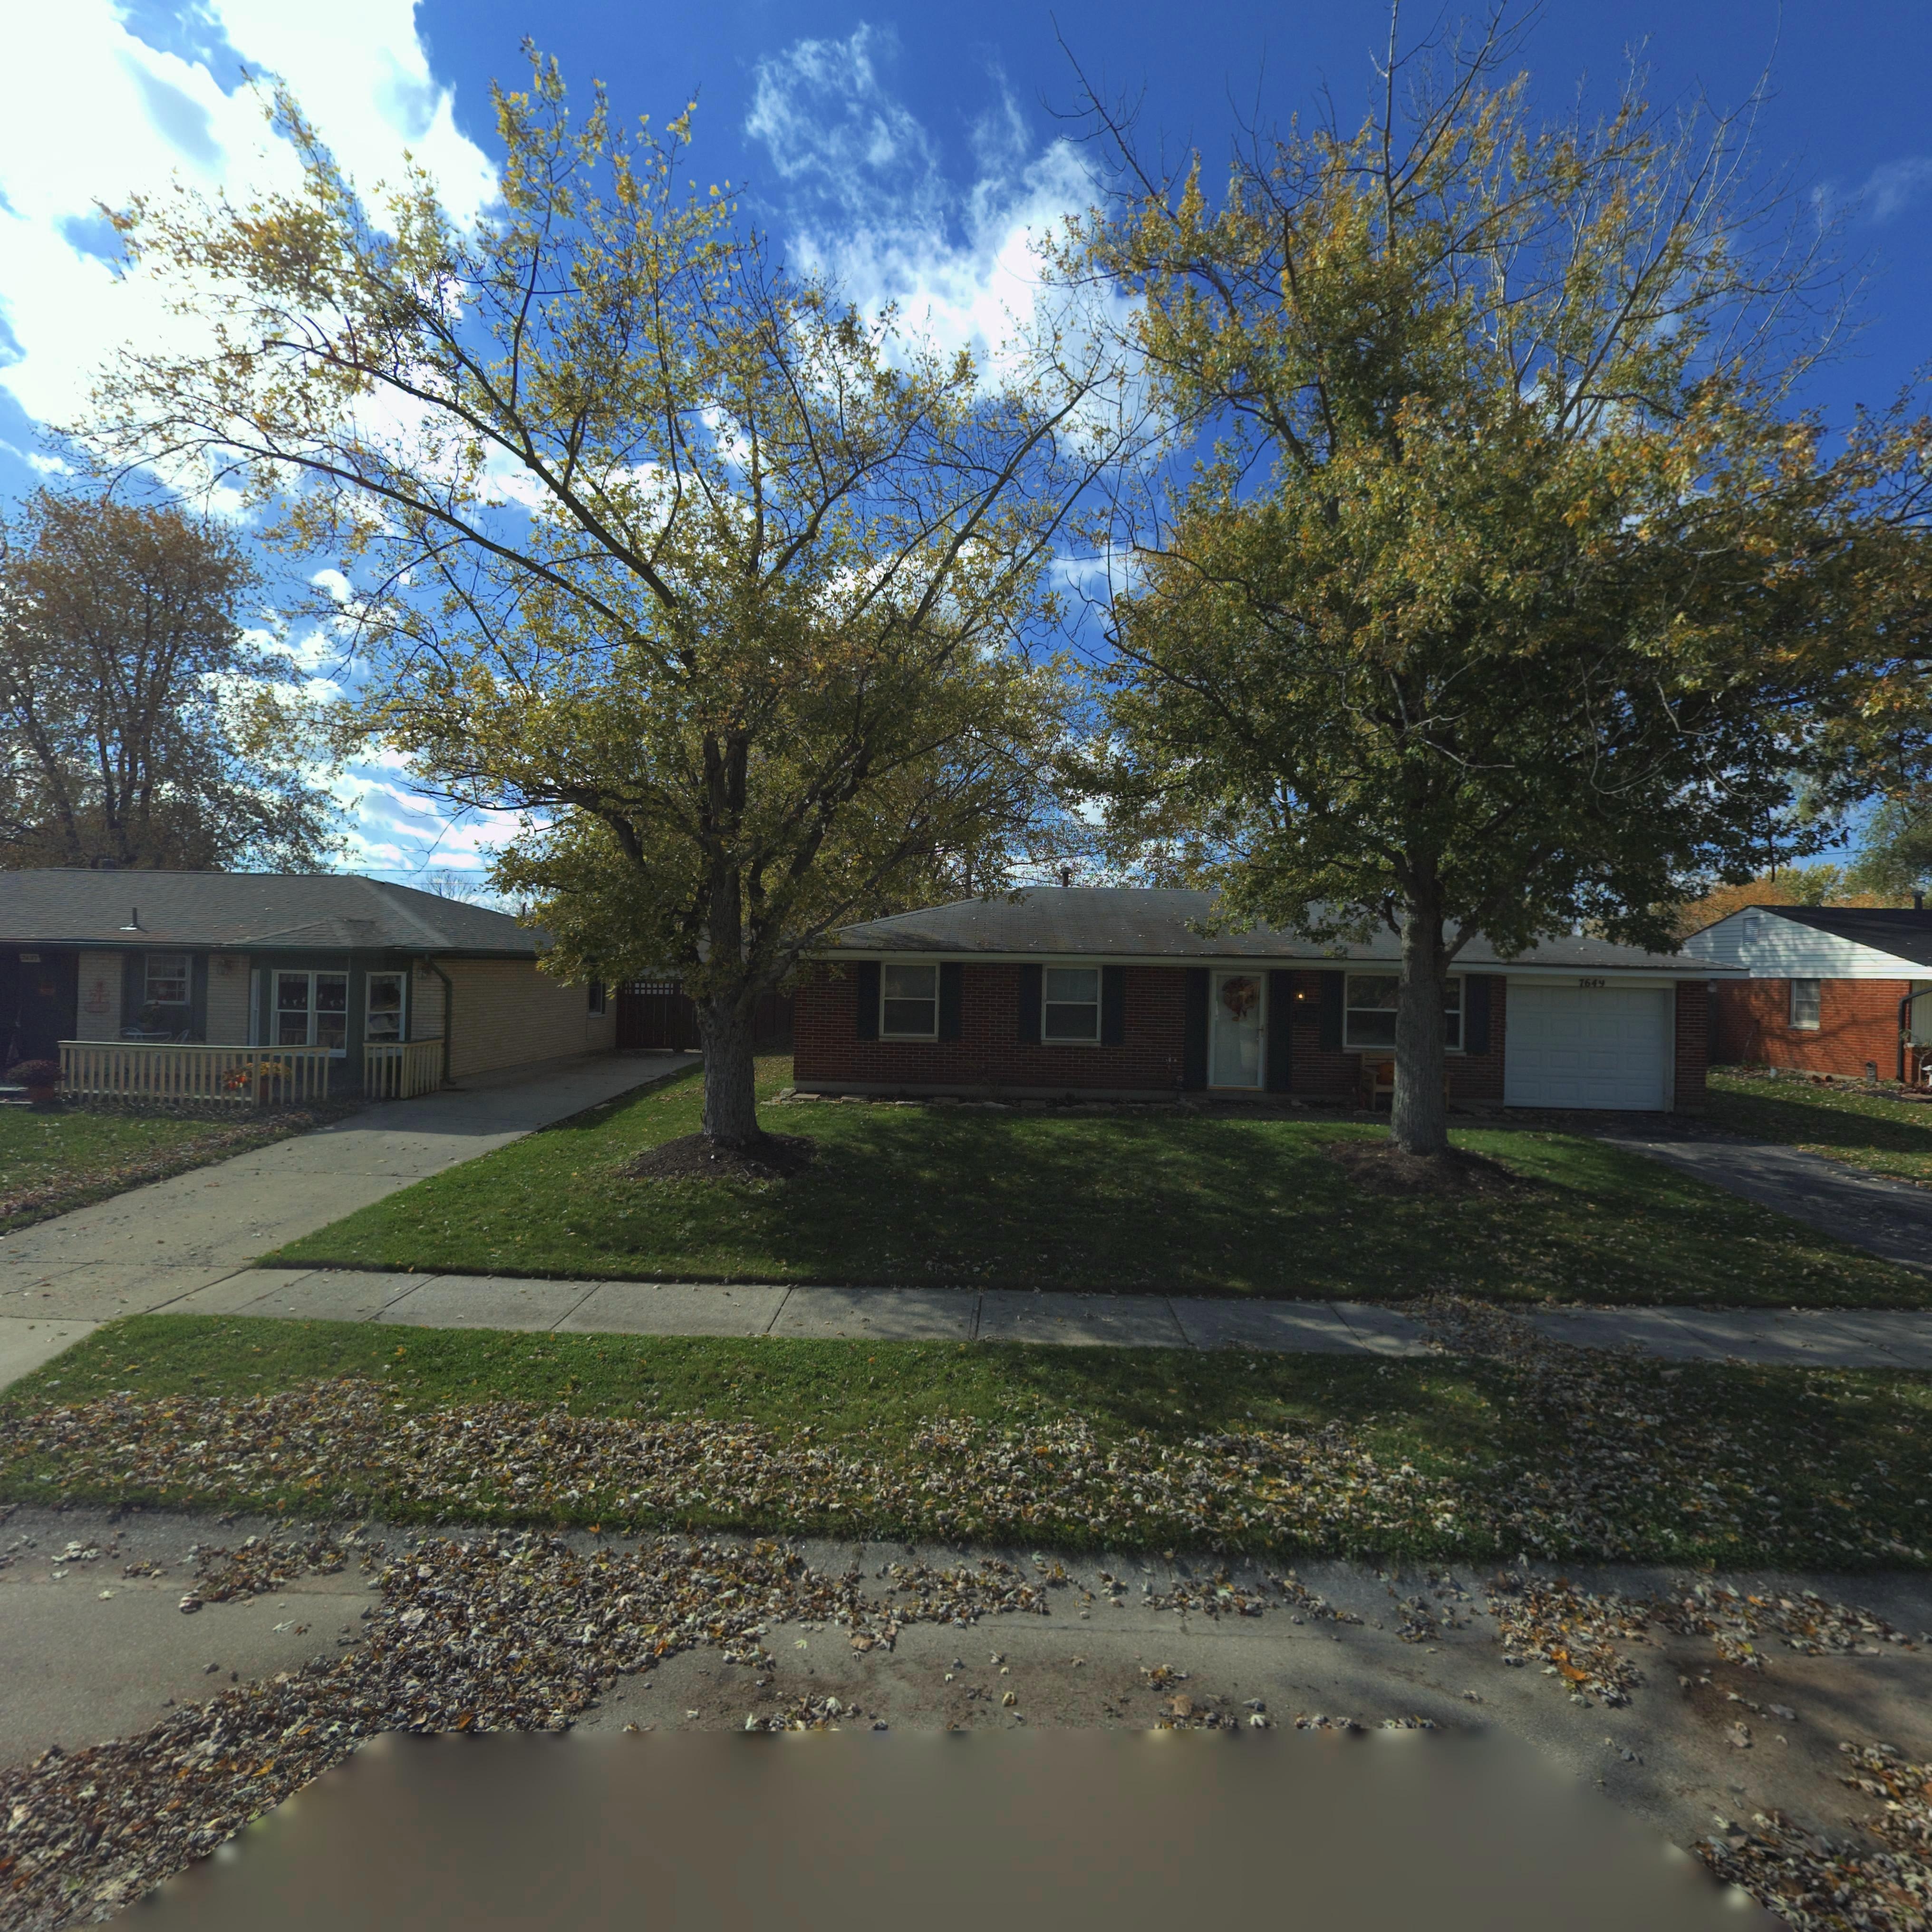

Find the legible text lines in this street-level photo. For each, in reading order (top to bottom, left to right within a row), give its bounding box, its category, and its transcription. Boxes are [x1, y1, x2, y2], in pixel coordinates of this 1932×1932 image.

[1577, 977, 1606, 989] StreetNumber: 764*